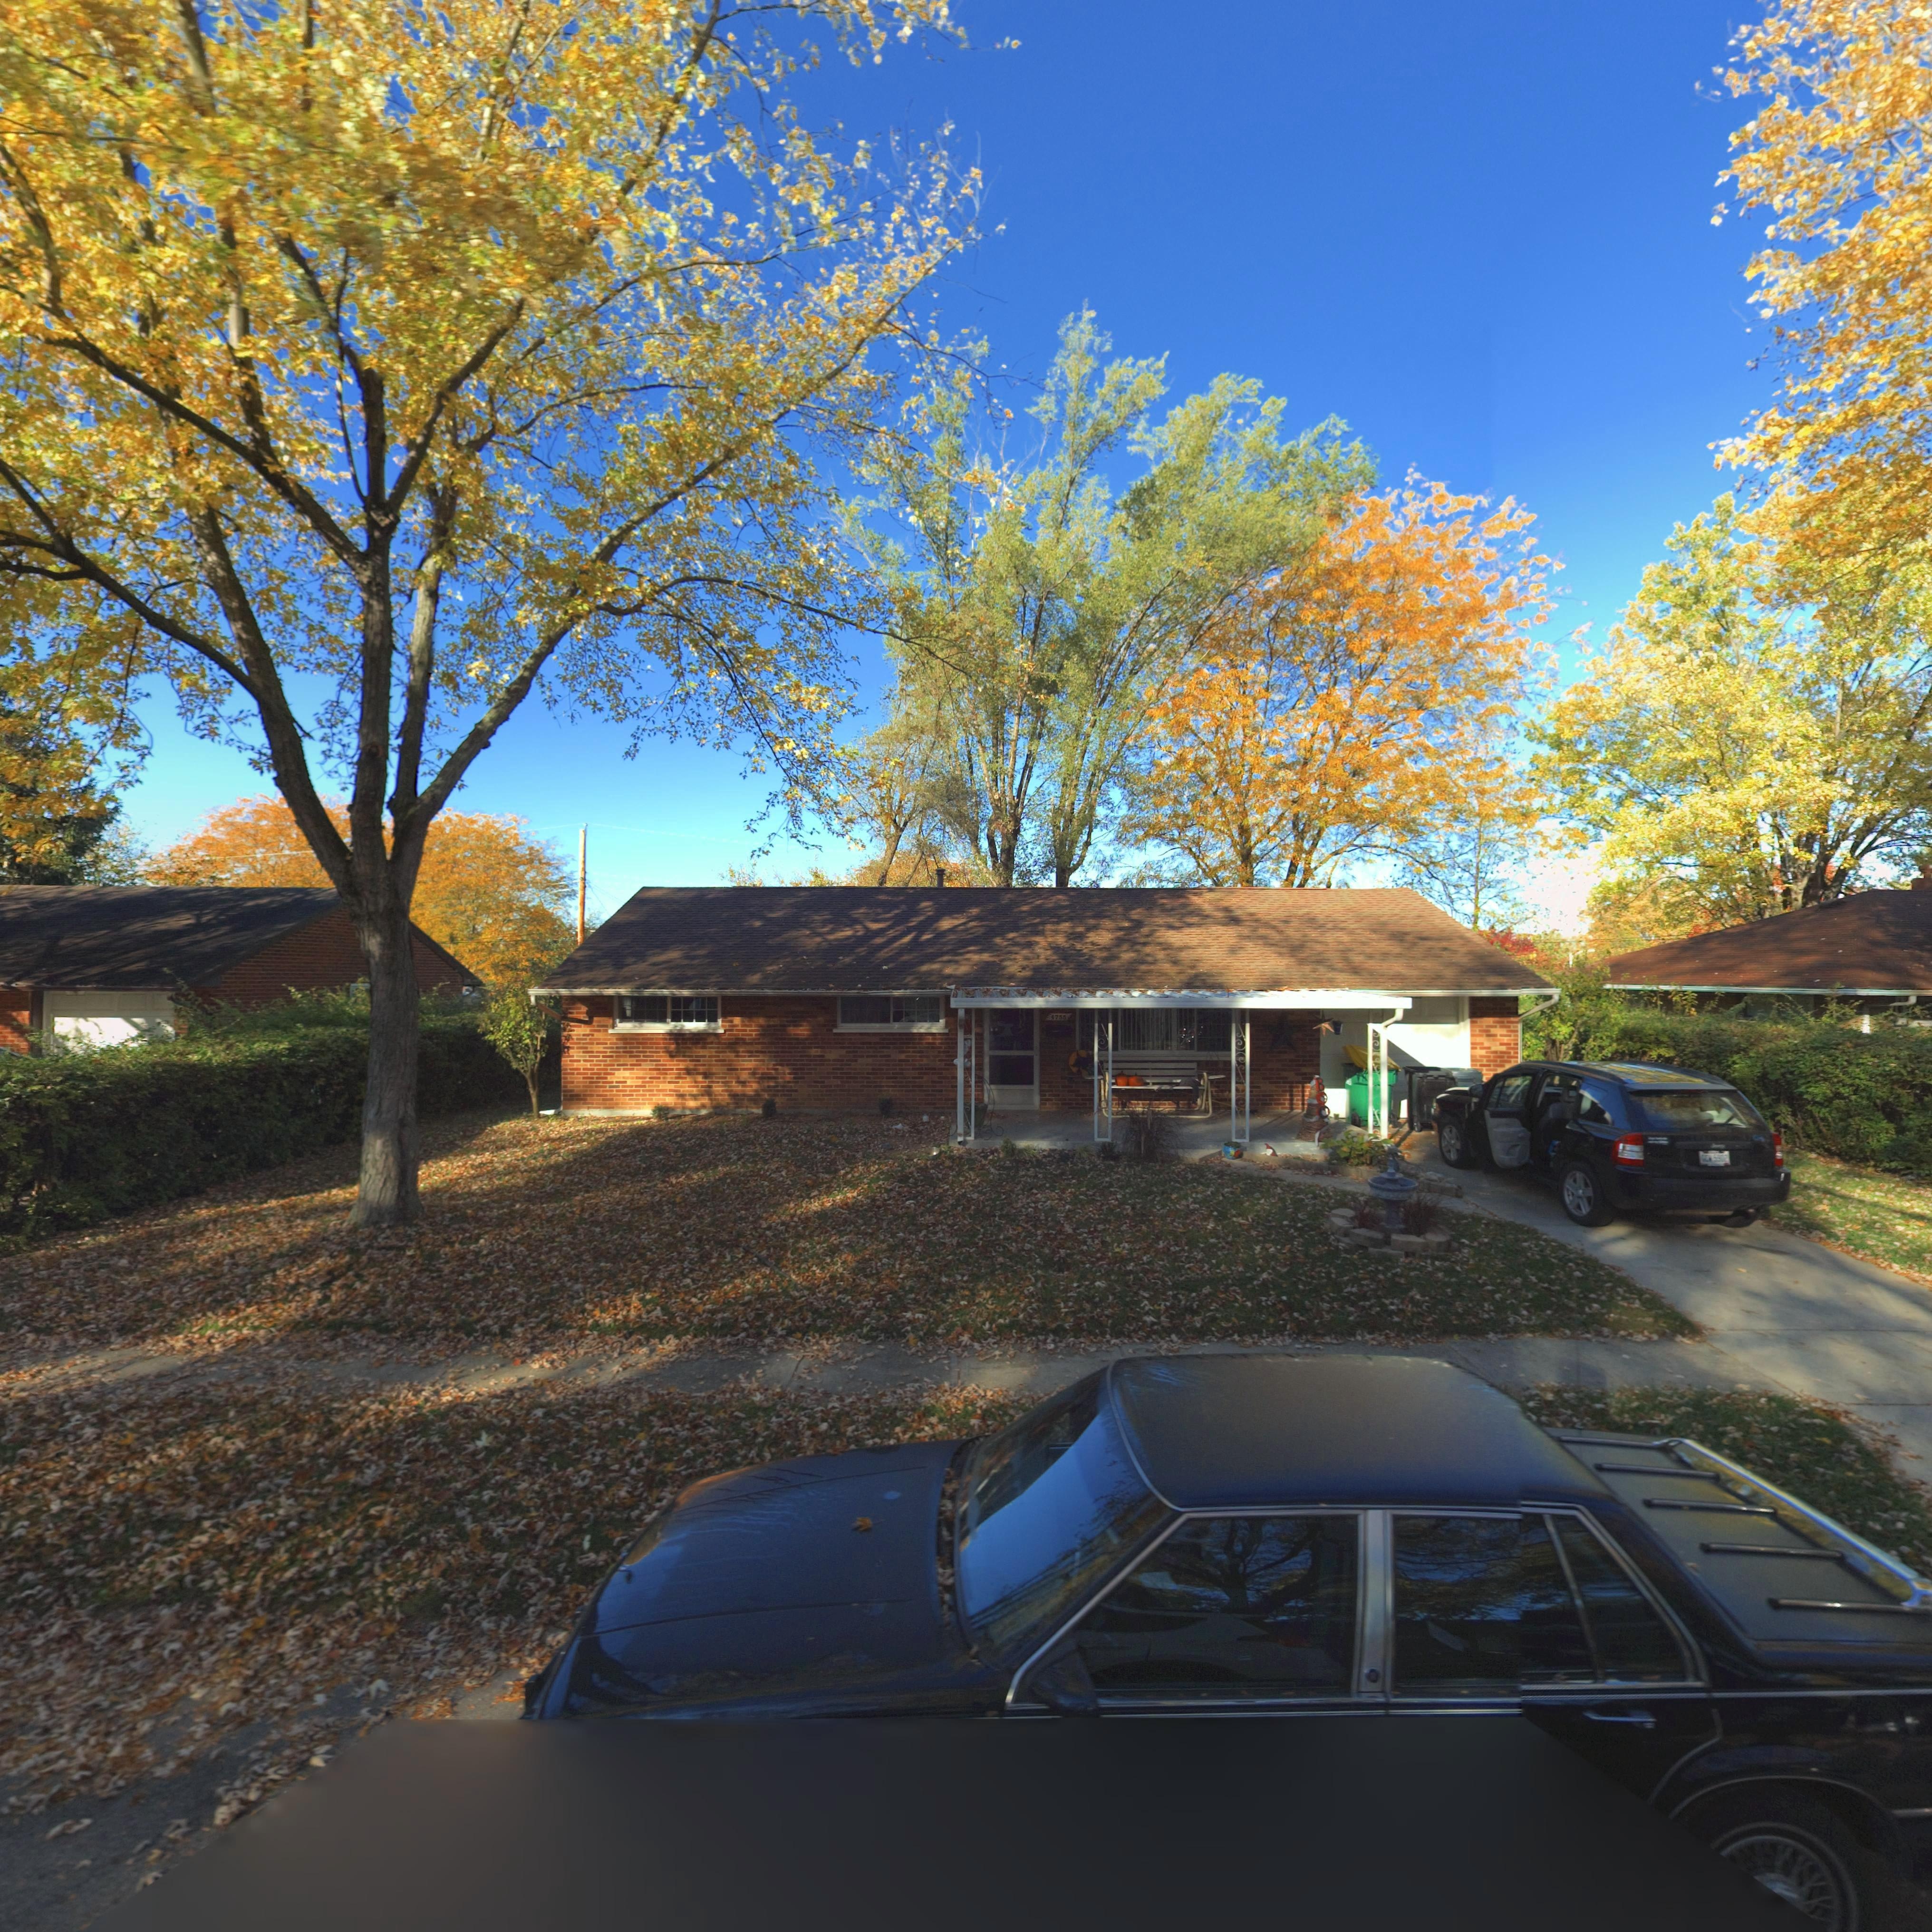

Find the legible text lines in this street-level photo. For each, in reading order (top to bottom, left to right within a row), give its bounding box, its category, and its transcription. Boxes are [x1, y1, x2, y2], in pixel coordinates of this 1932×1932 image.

[1050, 1014, 1067, 1020] StreetNumber: 4755